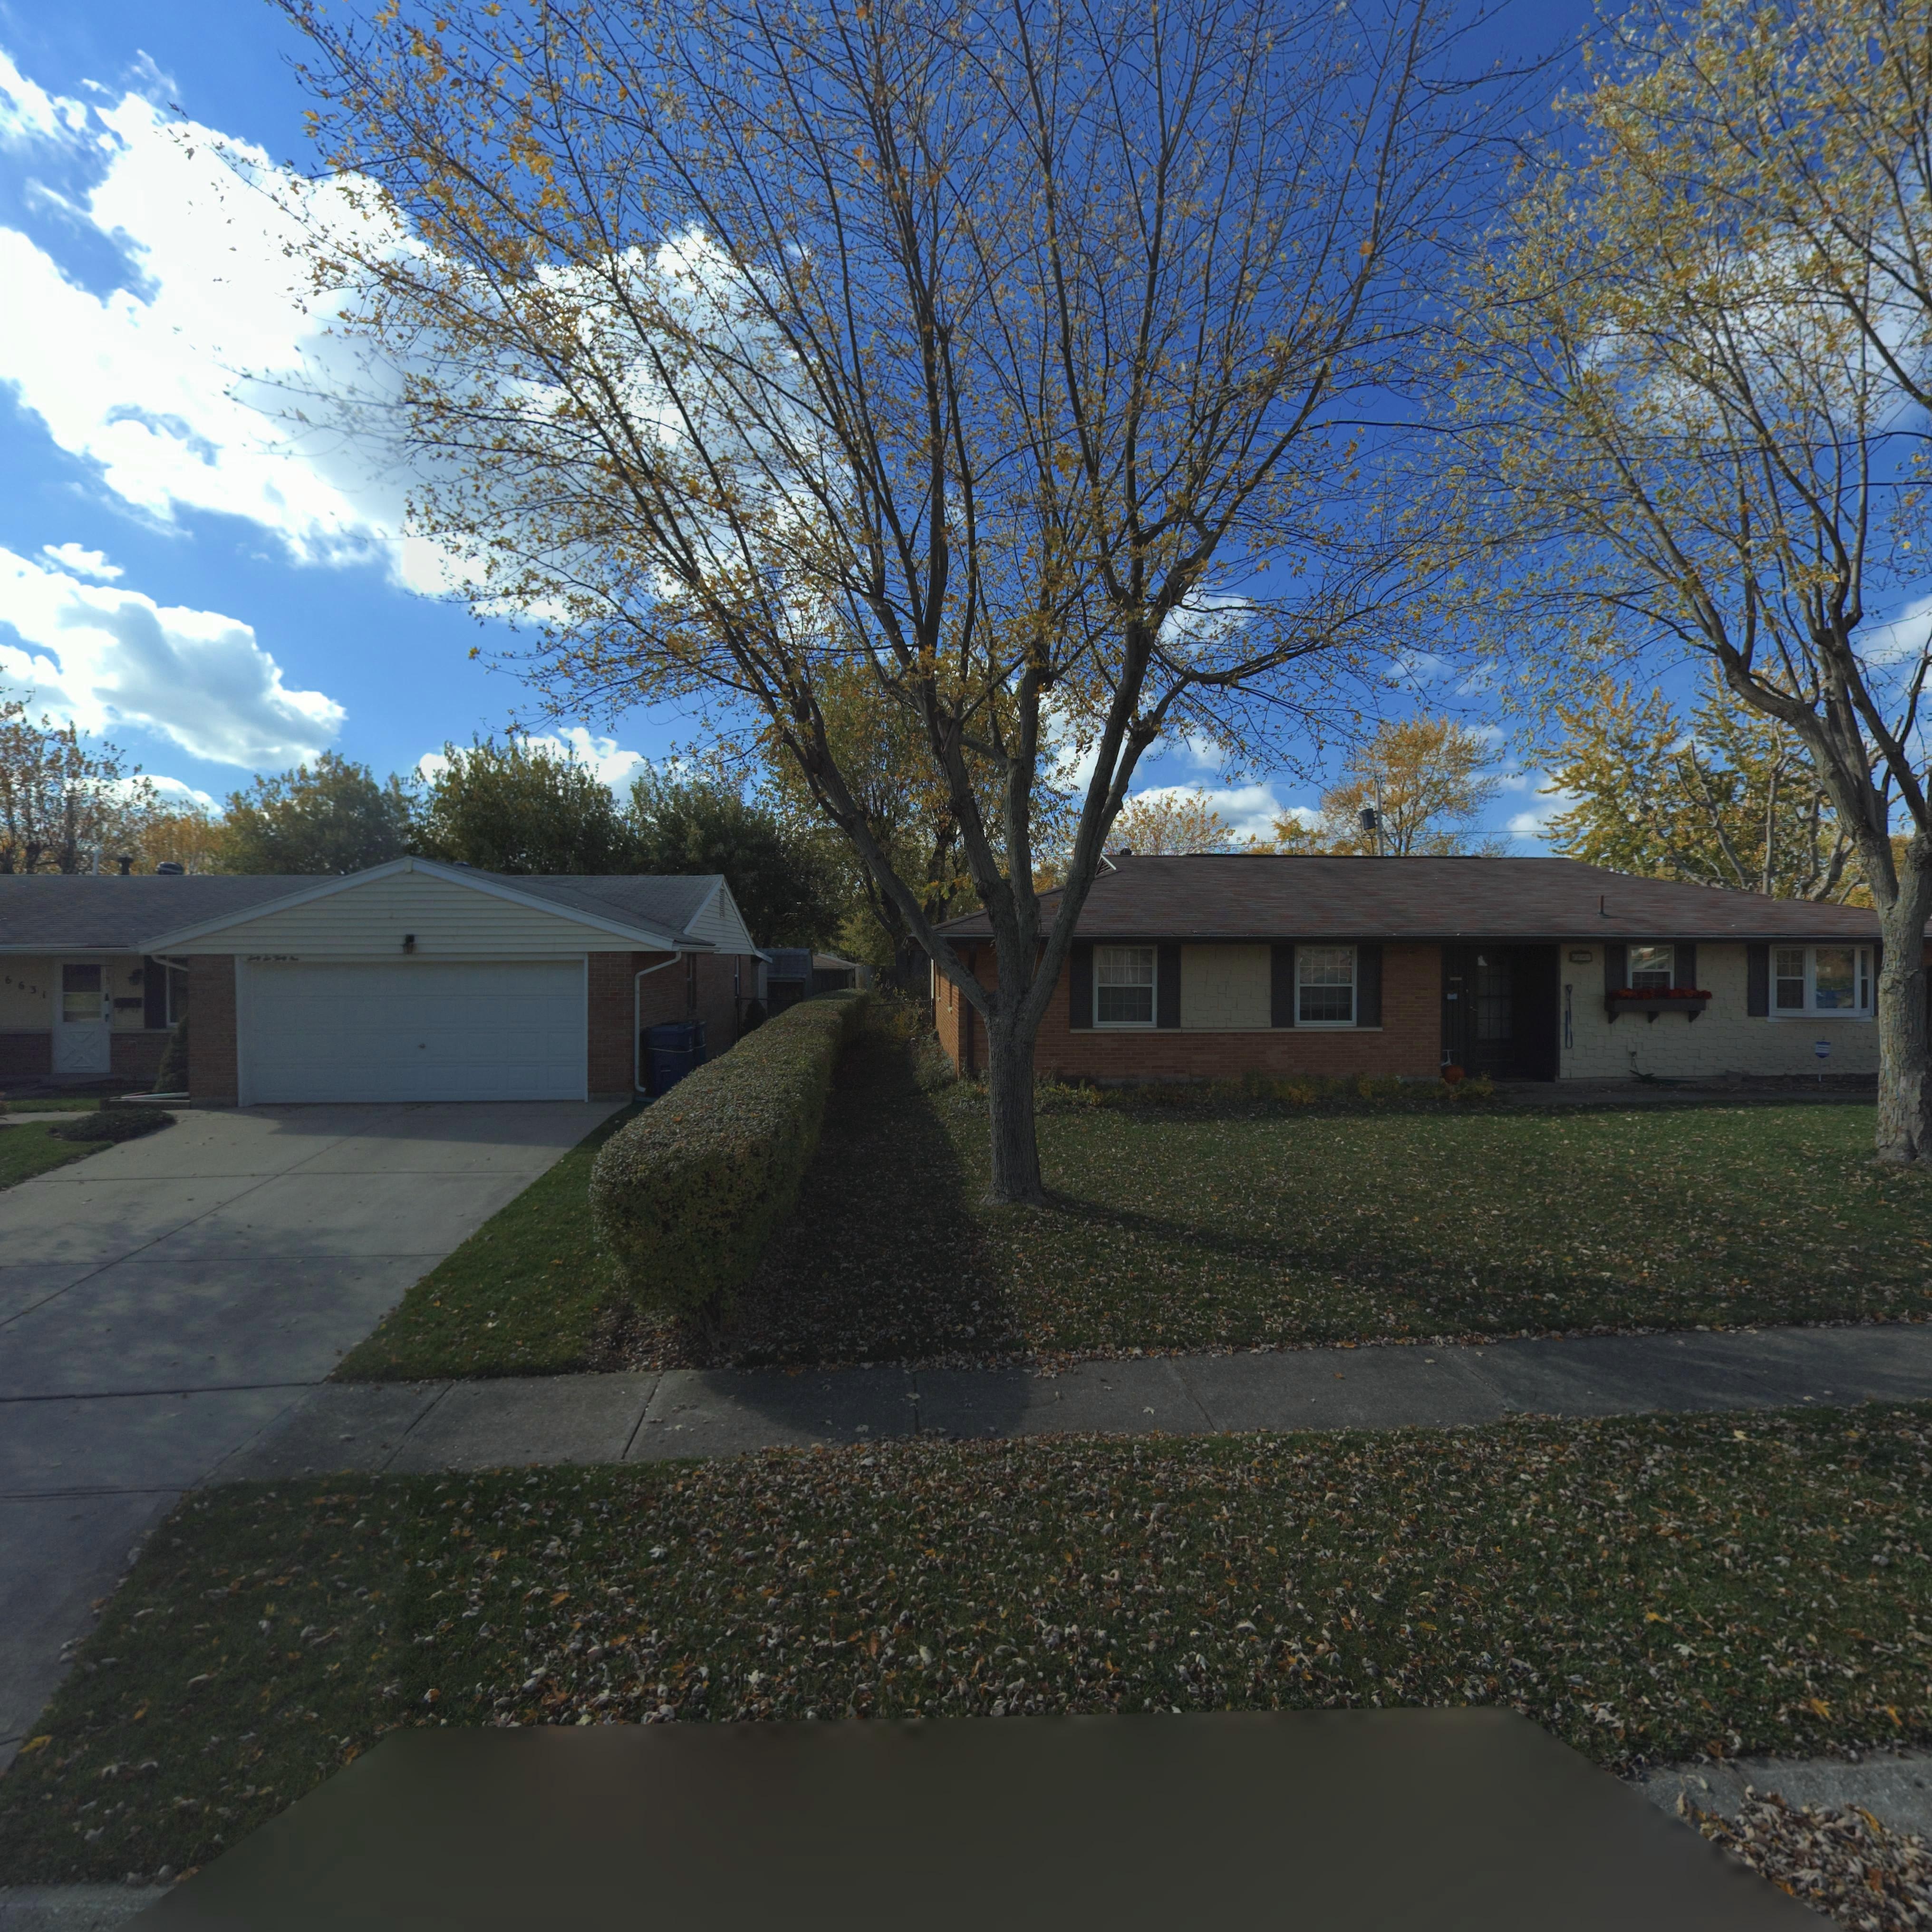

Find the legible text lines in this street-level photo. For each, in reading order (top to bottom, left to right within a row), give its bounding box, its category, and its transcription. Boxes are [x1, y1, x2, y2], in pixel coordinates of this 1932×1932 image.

[244, 953, 299, 962] StreetNumber: Sixty Six Thirty One
[1572, 953, 1590, 960] StreetNumber: 6641
[4, 974, 48, 1000] StreetNumber: 6631